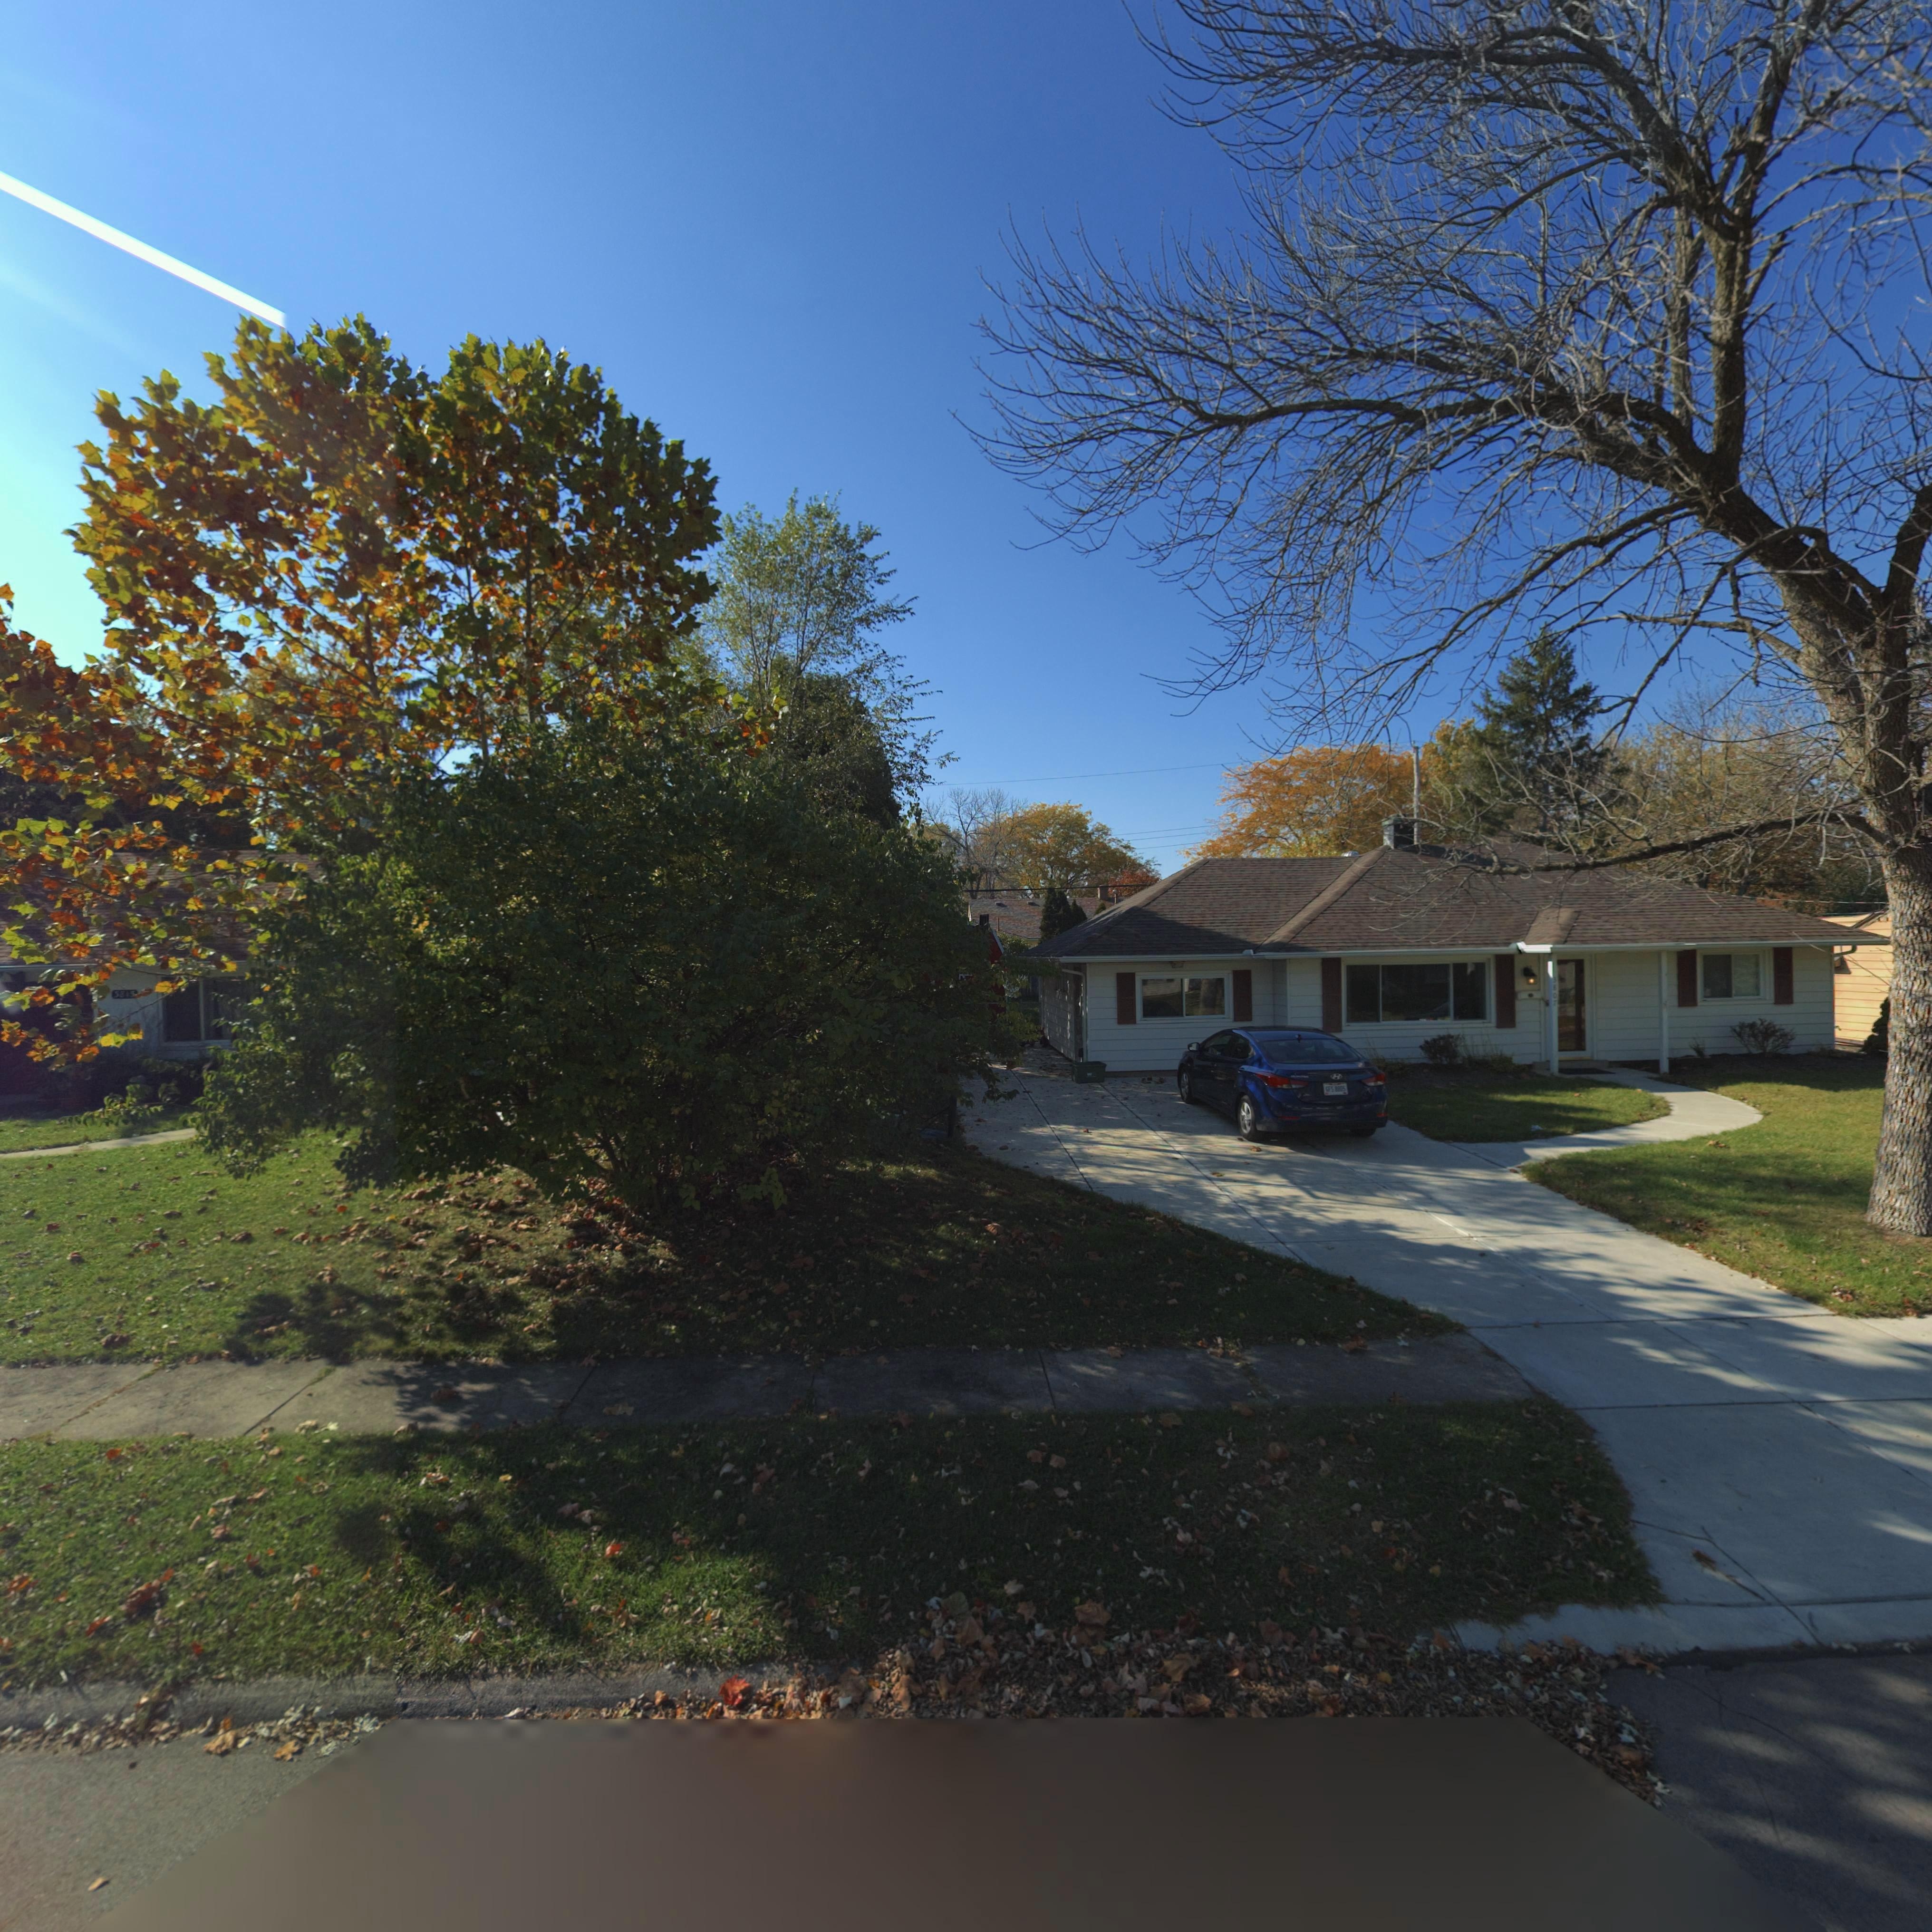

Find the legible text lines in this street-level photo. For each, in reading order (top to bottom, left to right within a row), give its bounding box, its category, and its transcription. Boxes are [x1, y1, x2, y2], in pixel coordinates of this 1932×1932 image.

[112, 988, 137, 1000] StreetNumber: *815
[1552, 975, 1558, 1007] StreetNumber: 3807
[1324, 1084, 1347, 1093] None: GFS 8805